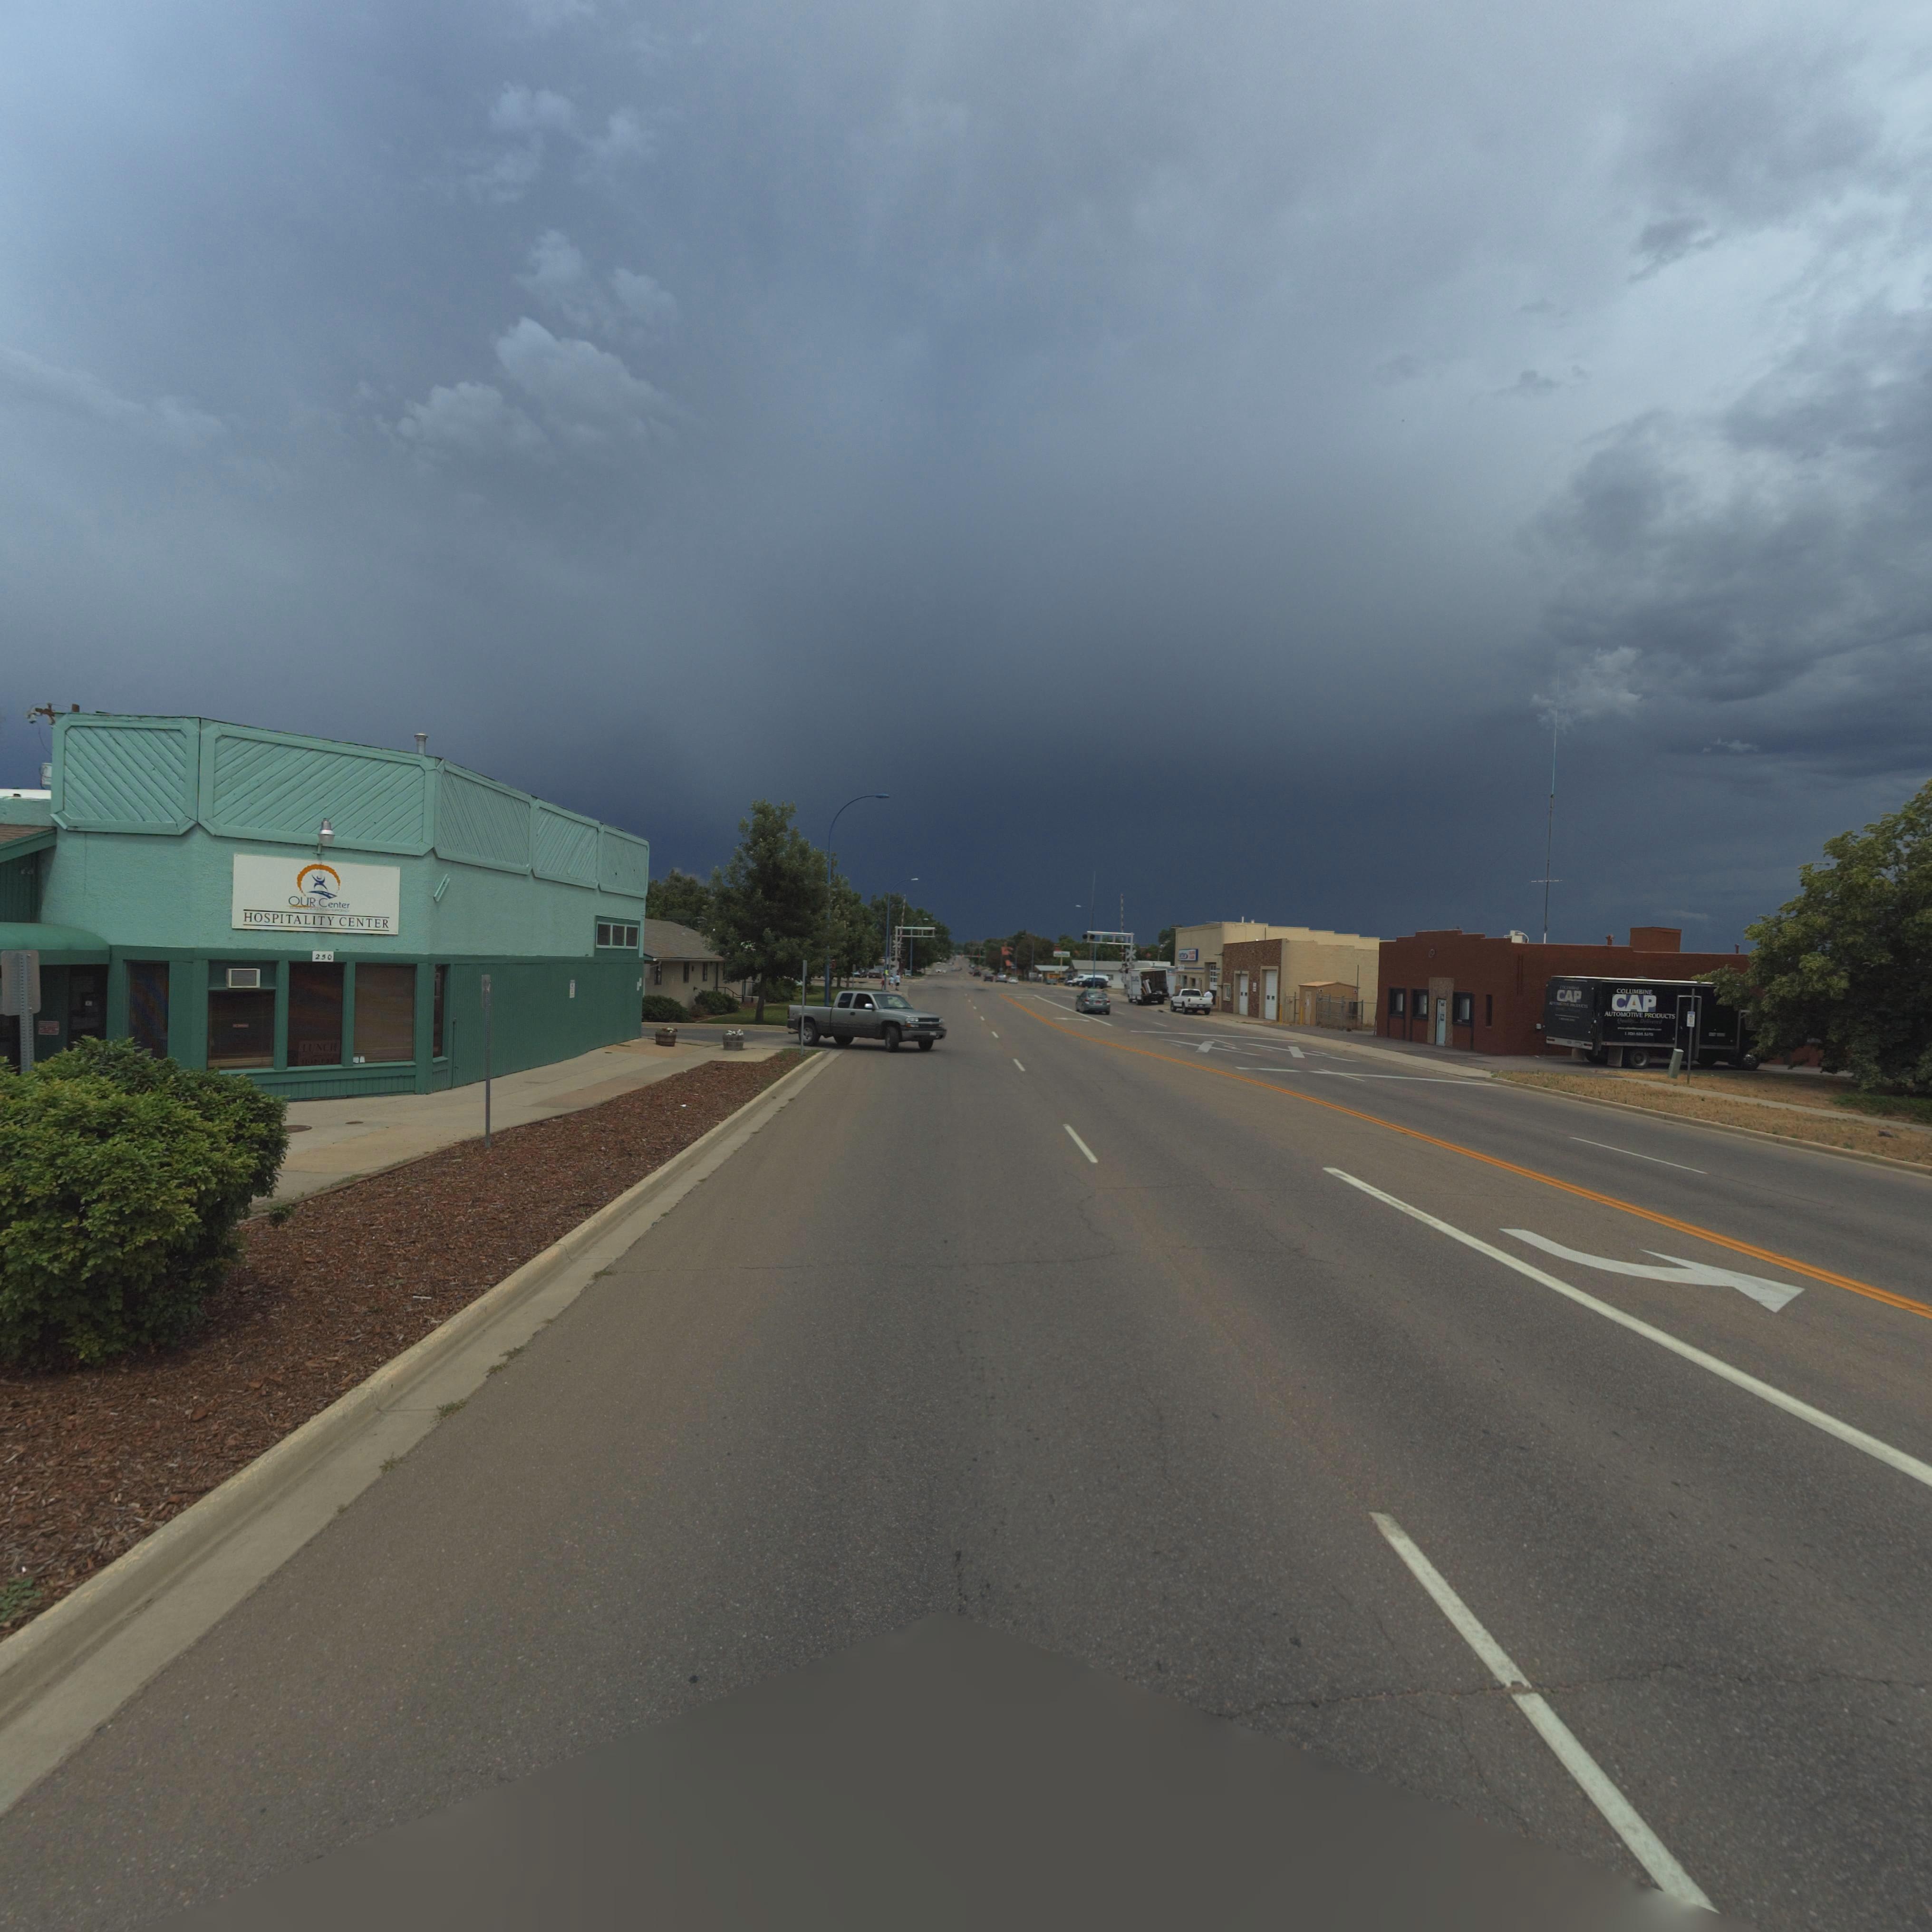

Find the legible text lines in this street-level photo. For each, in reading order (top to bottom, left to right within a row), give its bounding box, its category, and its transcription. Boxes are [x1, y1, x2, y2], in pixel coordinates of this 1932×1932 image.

[288, 895, 350, 909] StreetName: OUR Center
[315, 954, 332, 960] StreetNumber: 250